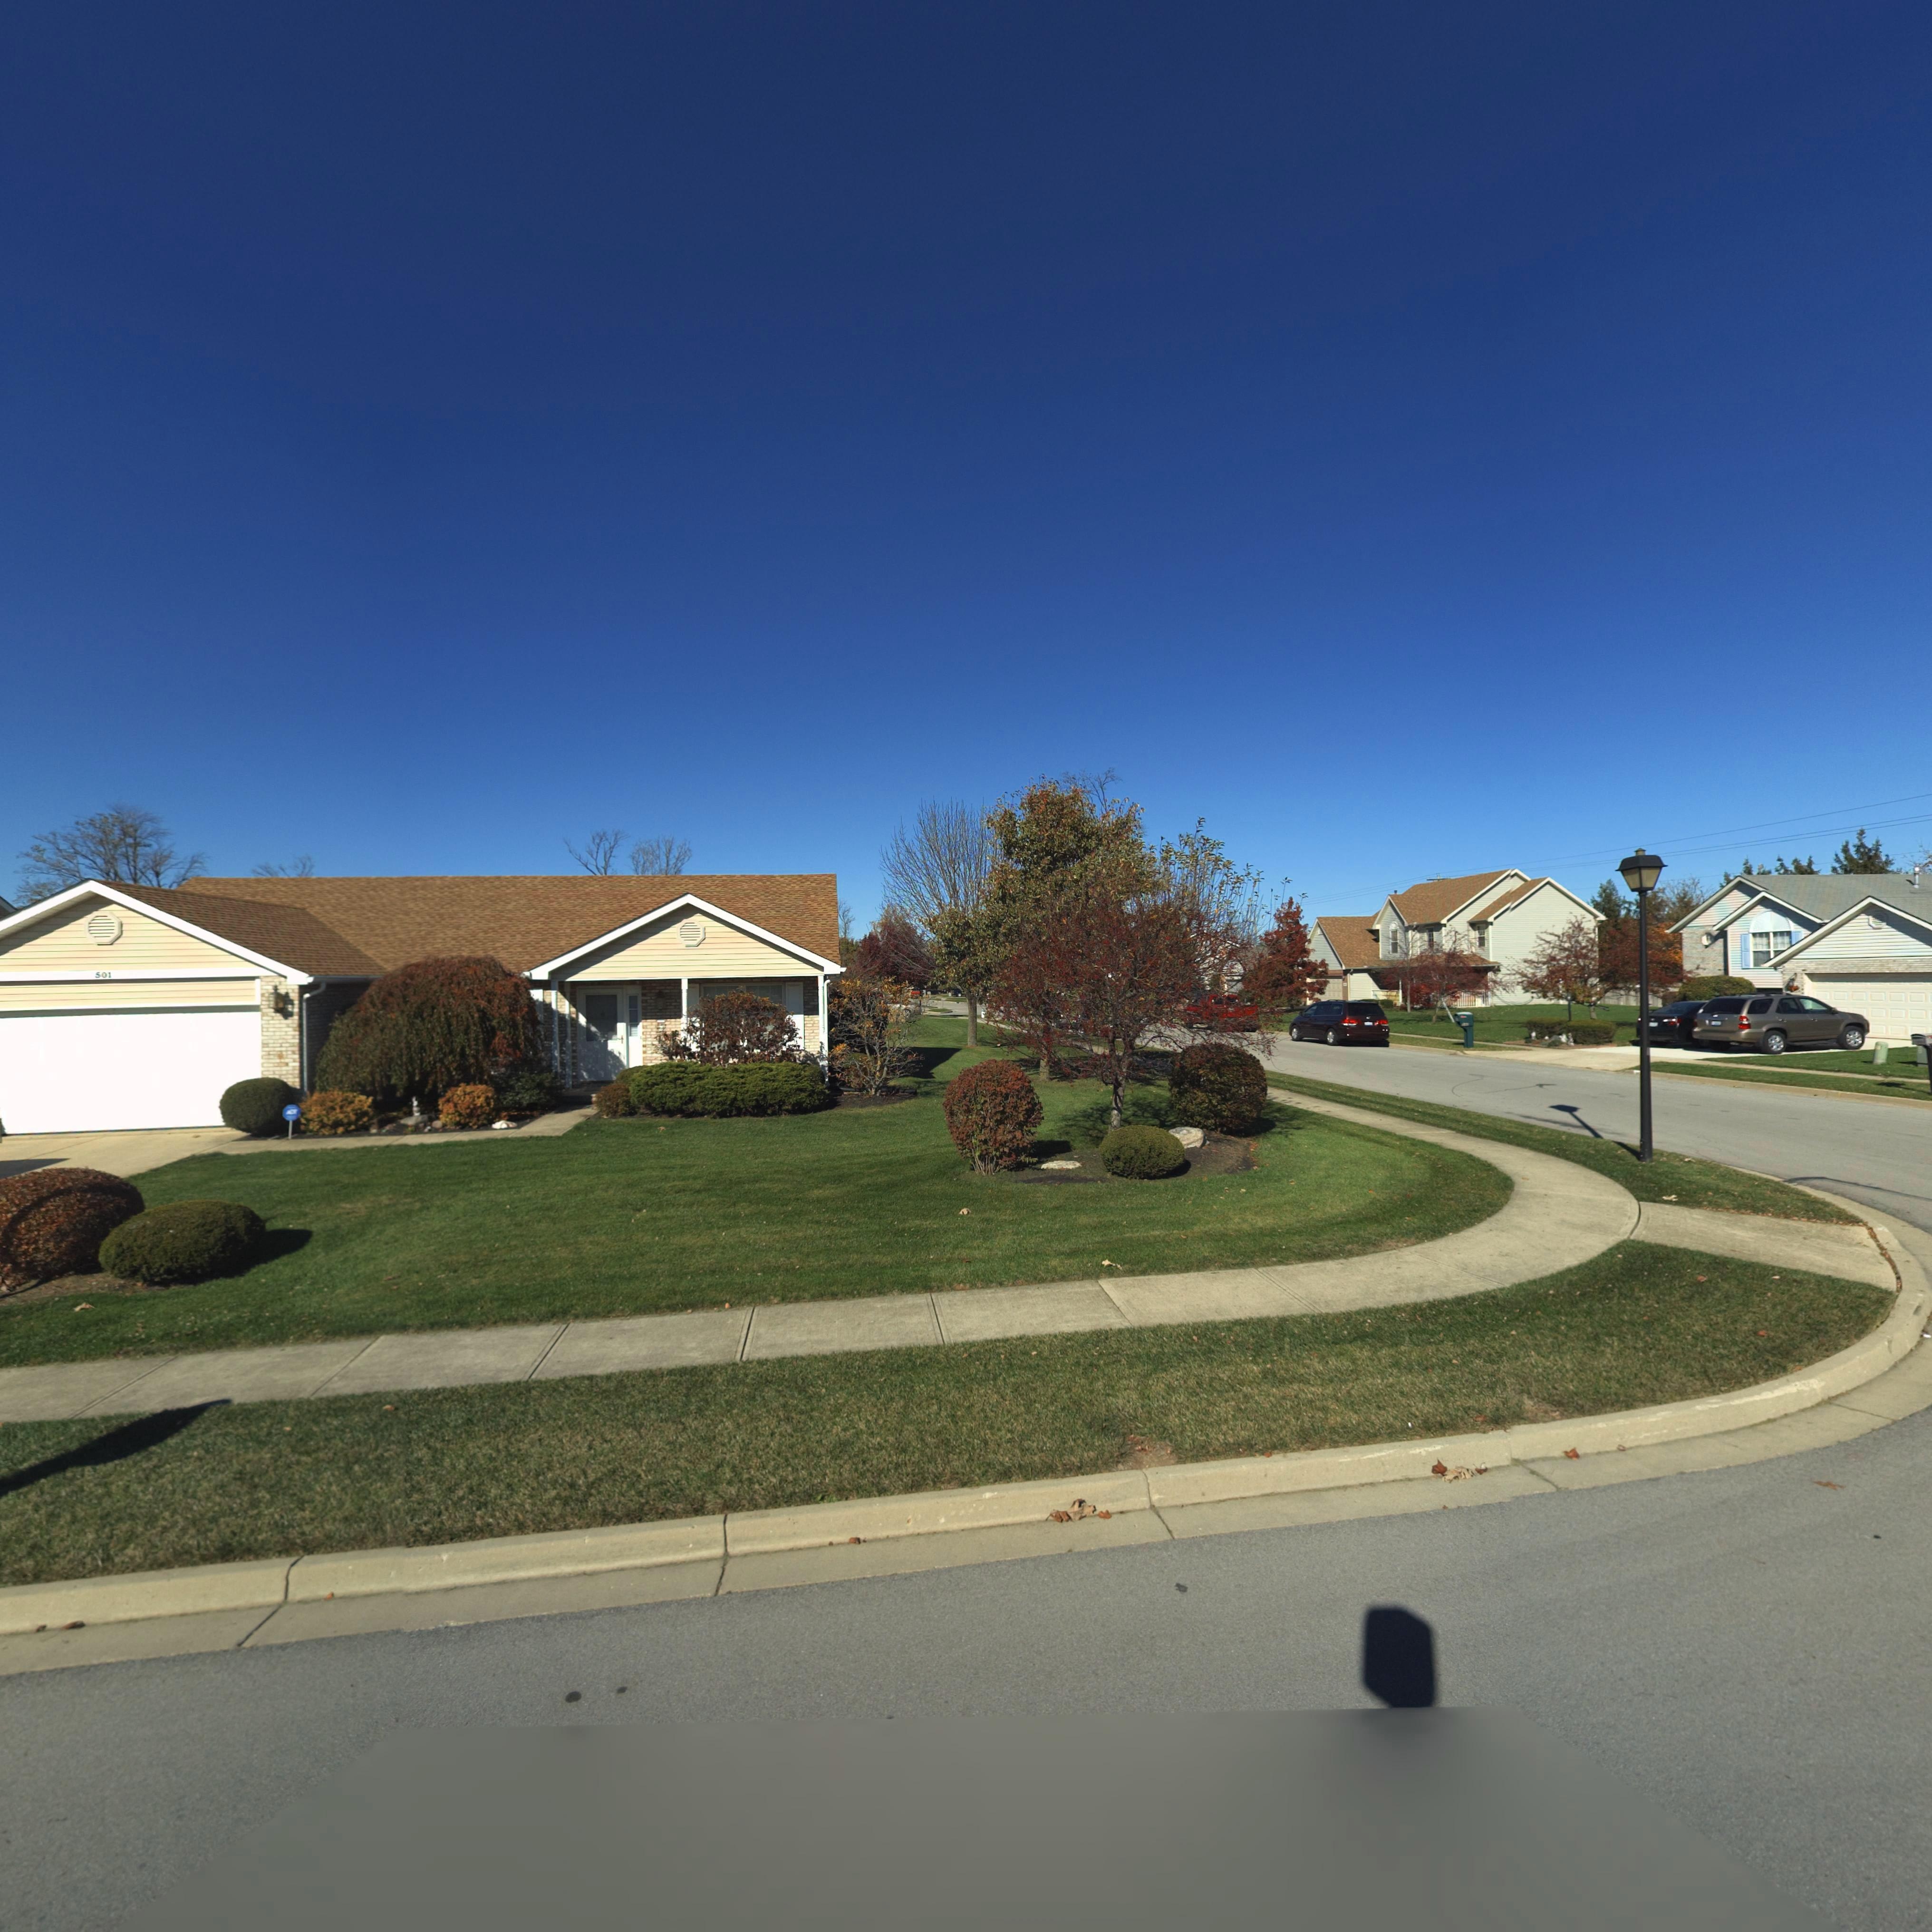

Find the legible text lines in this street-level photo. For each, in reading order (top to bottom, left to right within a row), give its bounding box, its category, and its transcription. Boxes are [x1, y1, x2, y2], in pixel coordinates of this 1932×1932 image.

[94, 971, 113, 979] StreetNumber: 501